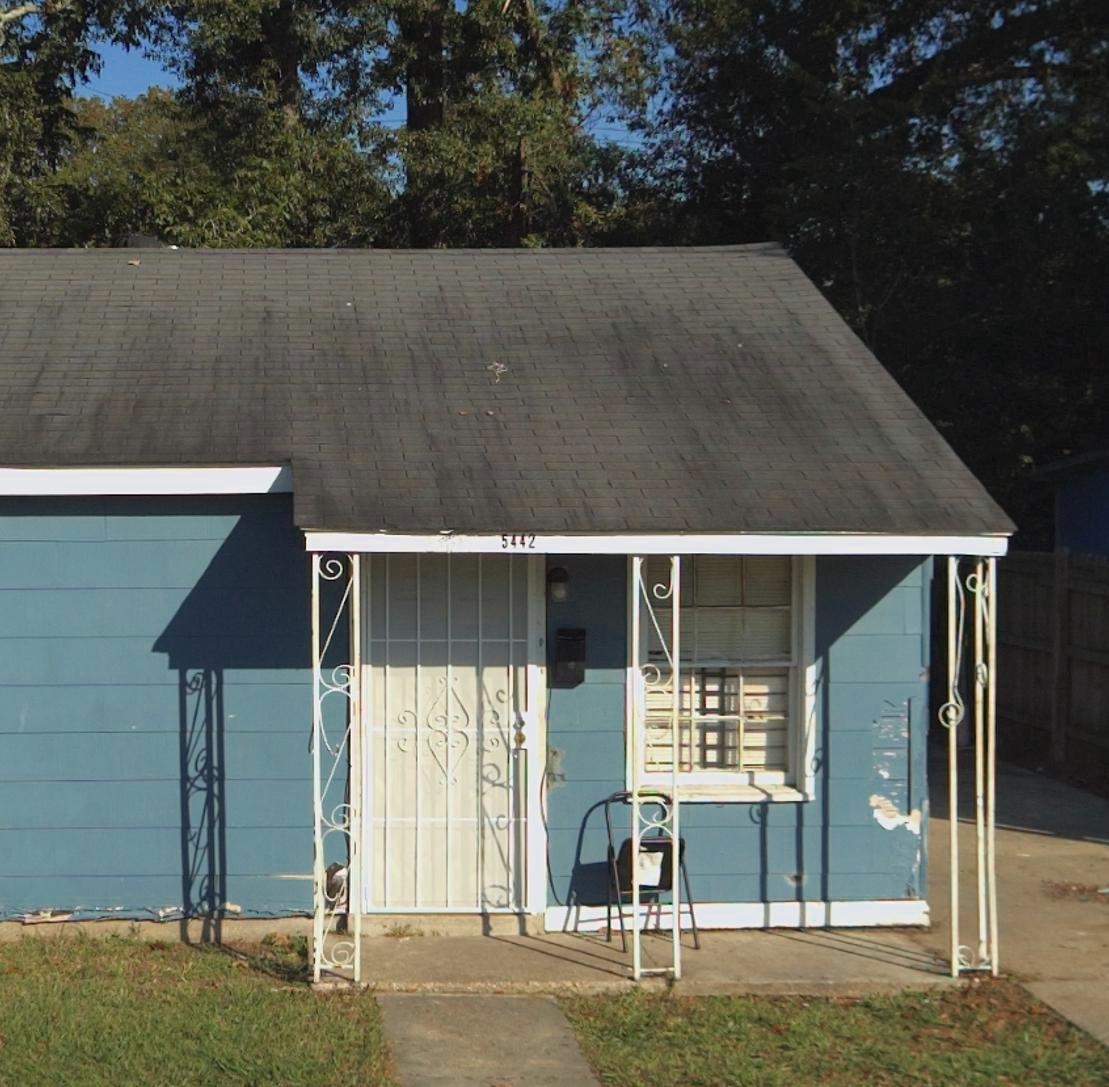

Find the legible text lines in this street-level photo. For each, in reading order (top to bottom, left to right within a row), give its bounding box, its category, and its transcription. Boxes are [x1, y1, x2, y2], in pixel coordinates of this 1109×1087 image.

[500, 532, 536, 549] StreetNumber: 5442